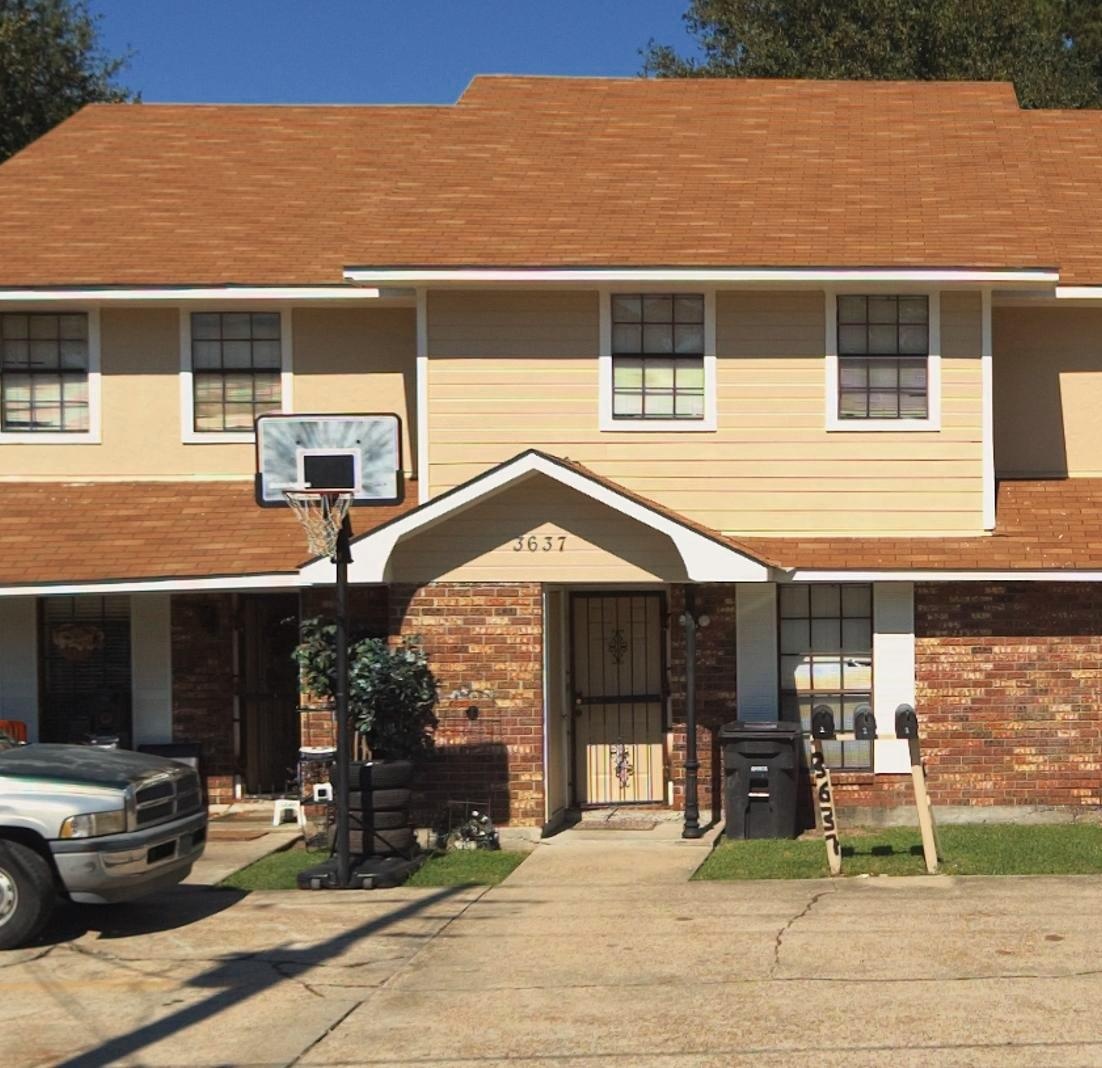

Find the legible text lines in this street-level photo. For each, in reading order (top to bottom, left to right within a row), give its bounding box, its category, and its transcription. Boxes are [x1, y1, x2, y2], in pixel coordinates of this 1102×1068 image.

[512, 535, 569, 553] StreetNumber: 3637
[809, 749, 842, 859] StreetNumber: 3637